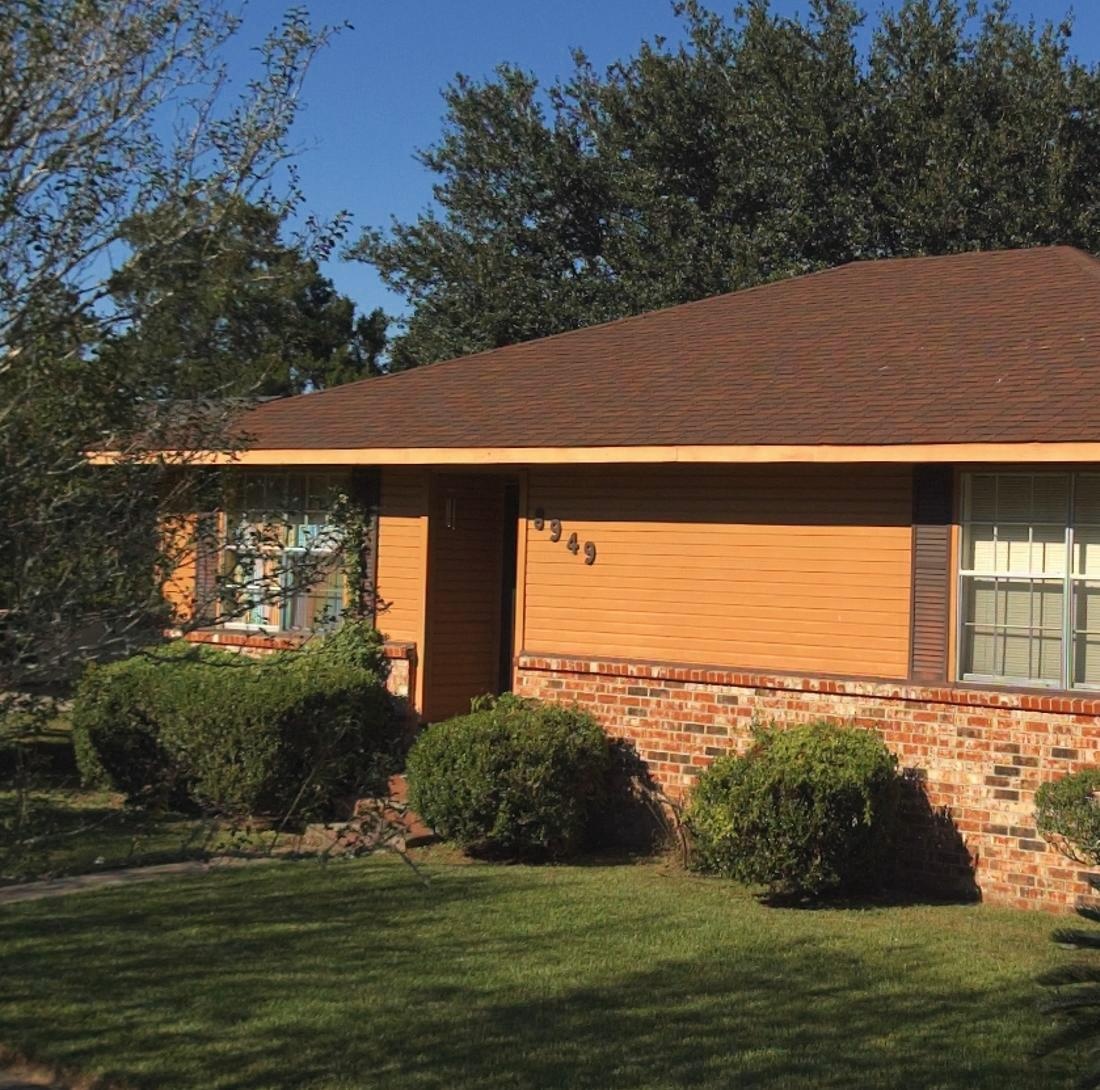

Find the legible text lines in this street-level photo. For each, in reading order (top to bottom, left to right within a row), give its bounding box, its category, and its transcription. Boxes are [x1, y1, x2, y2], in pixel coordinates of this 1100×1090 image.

[531, 505, 599, 570] StreetNumber: 8949